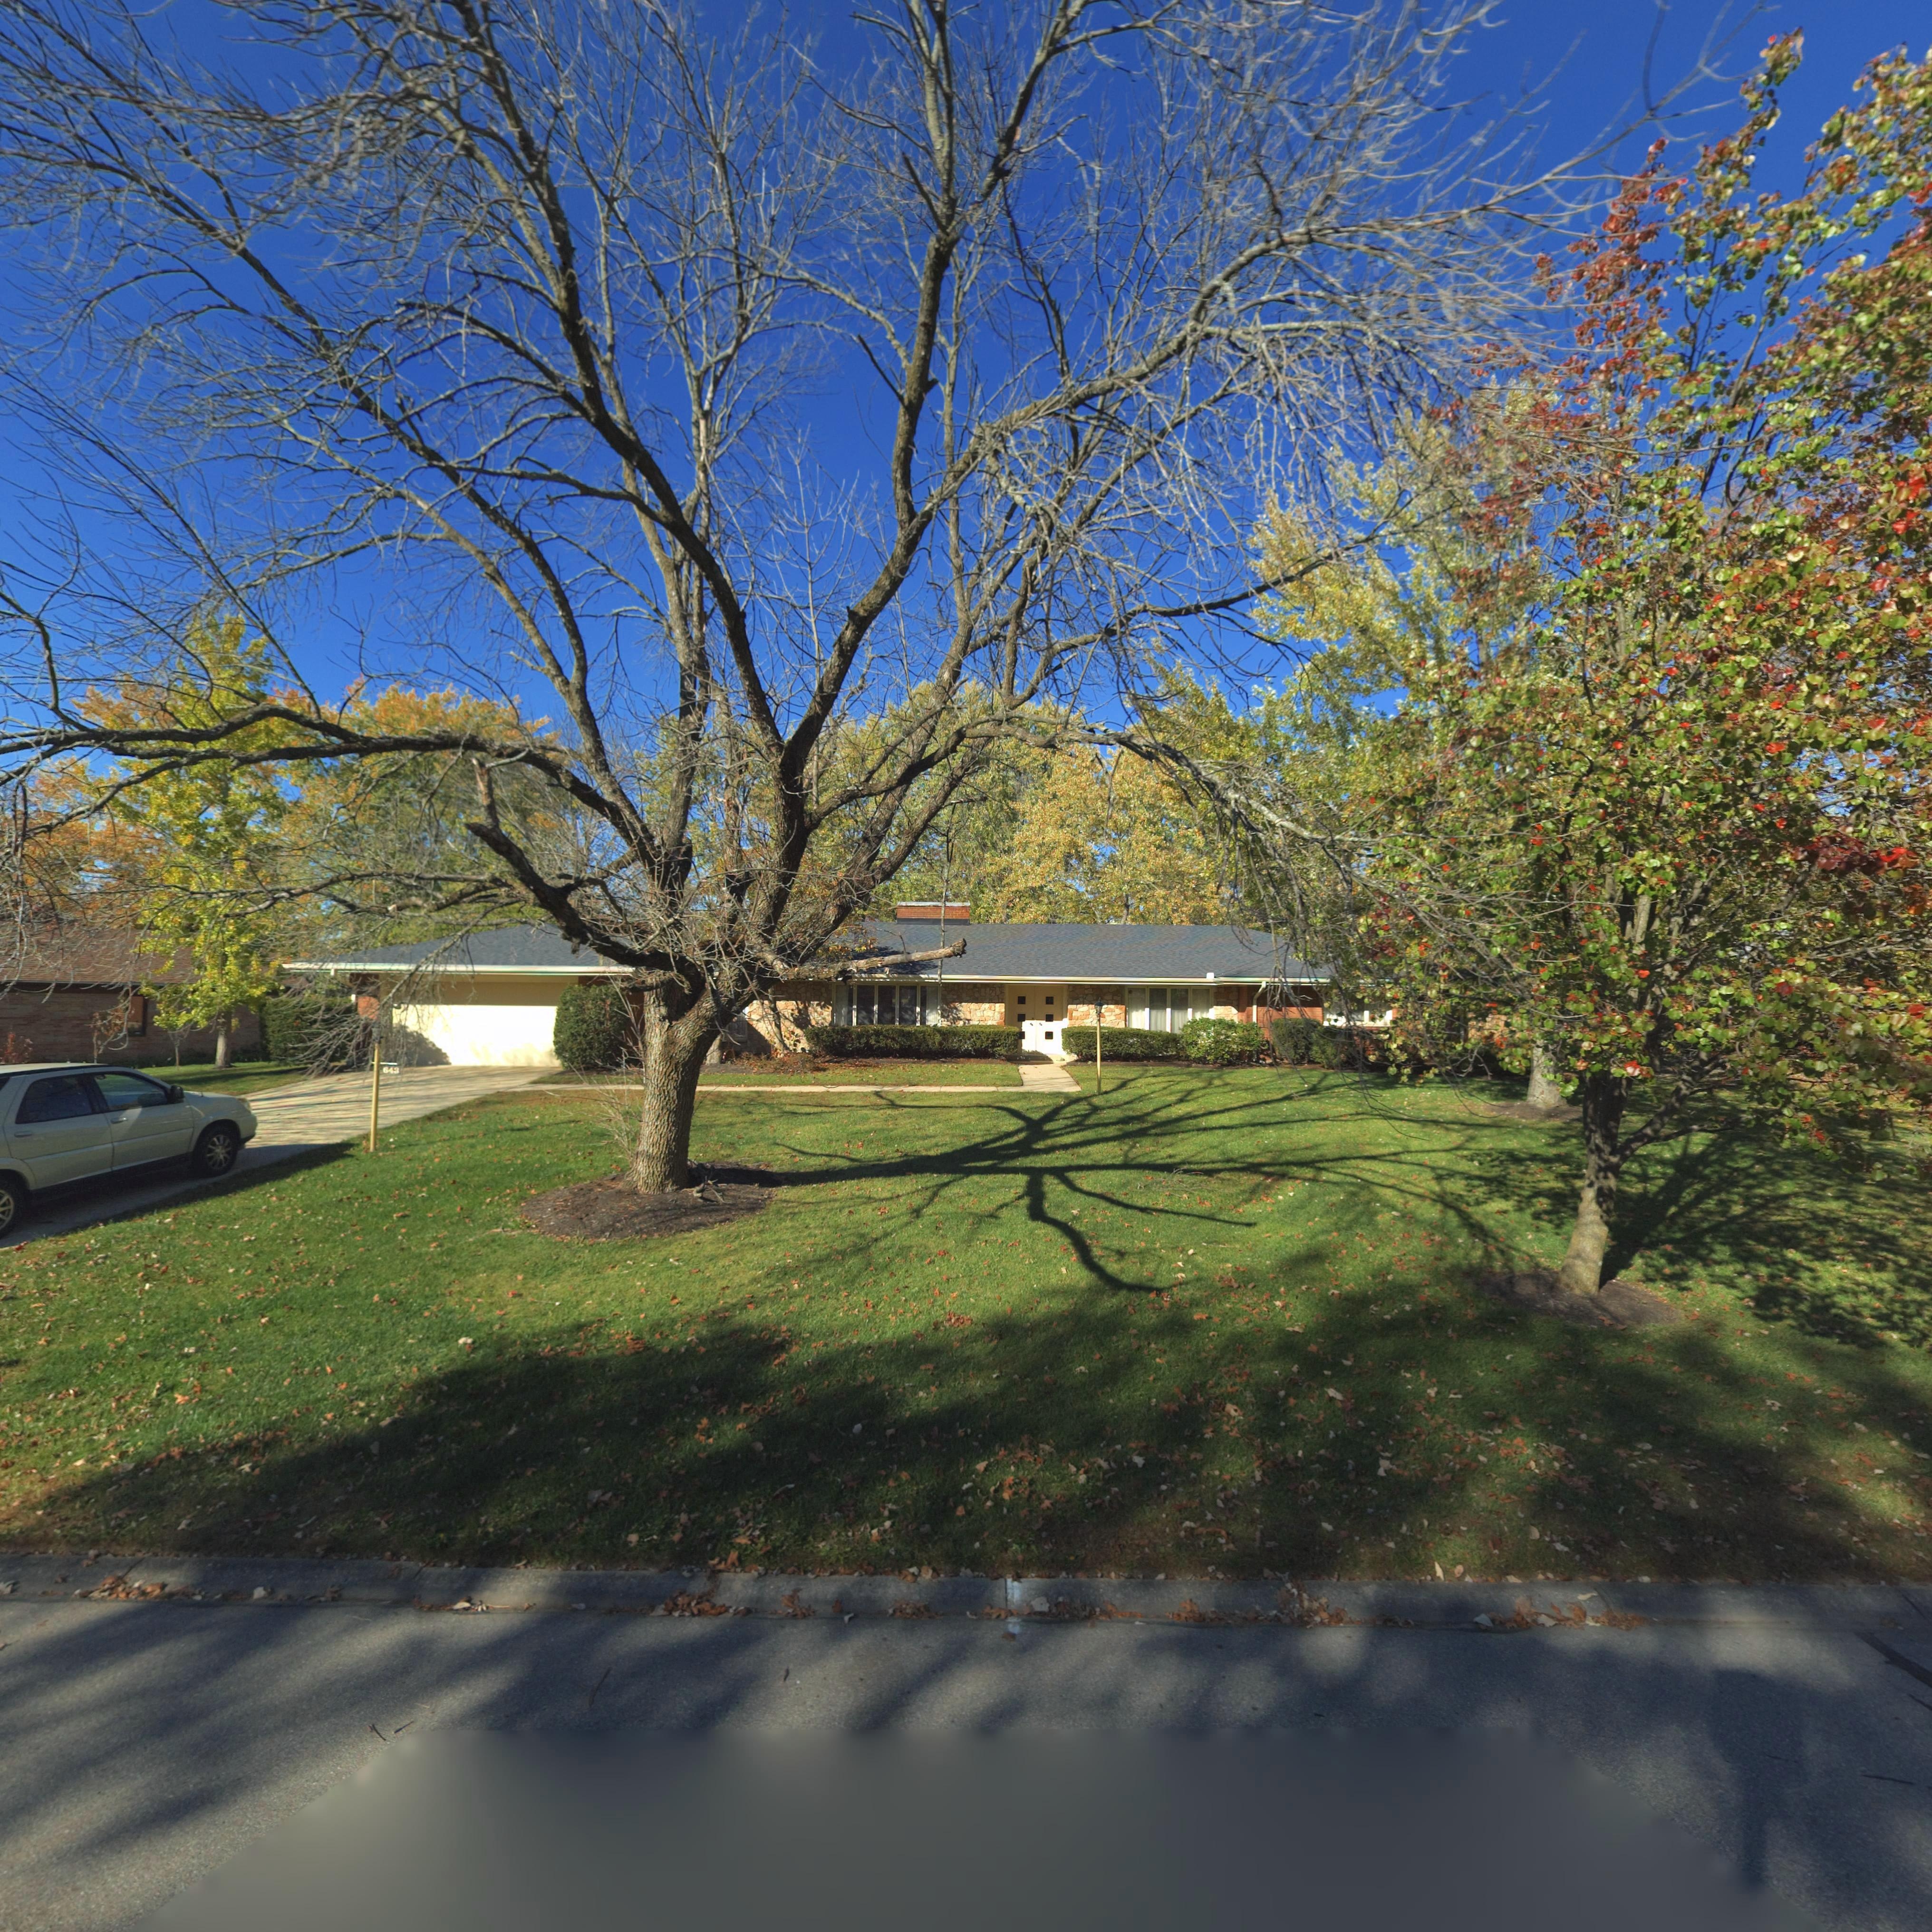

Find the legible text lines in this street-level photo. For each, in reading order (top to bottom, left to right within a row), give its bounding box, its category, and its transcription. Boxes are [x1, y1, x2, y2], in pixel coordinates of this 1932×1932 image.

[382, 1066, 400, 1074] StreetNumber: 643